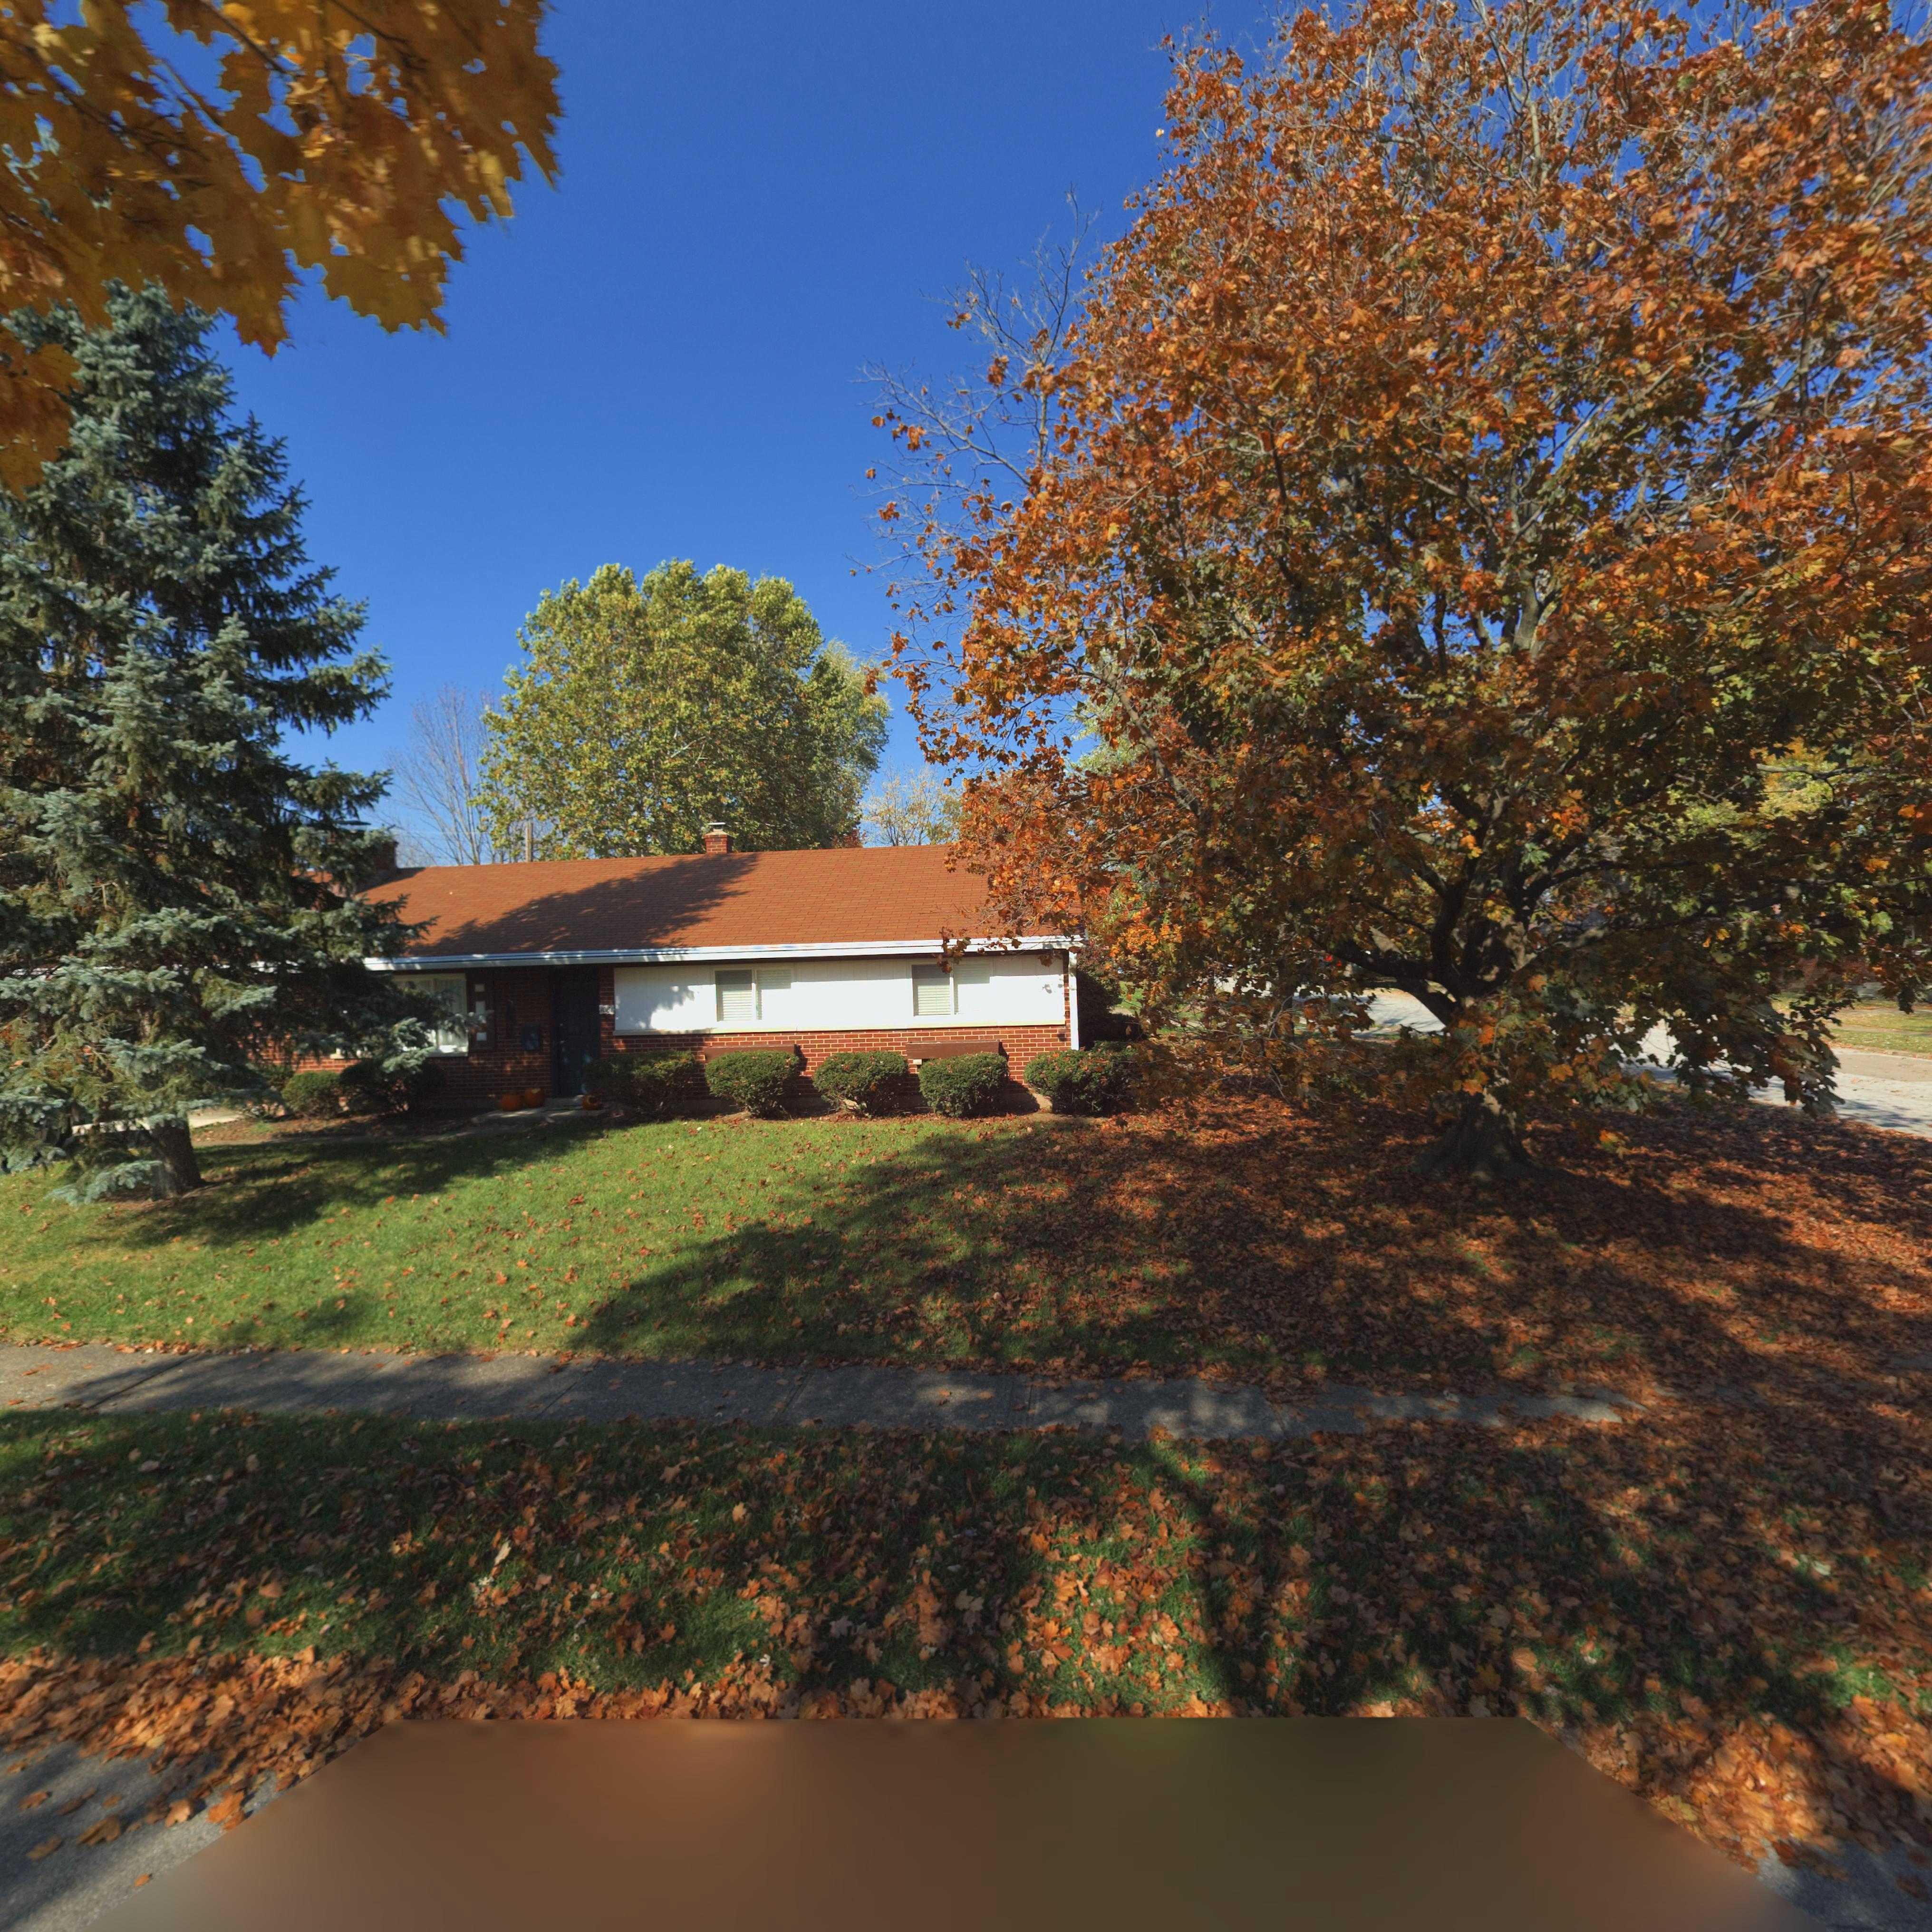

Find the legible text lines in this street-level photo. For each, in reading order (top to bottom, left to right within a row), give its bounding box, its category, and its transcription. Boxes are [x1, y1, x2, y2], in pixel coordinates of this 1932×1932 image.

[599, 1005, 613, 1013] StreetNumber: 1081